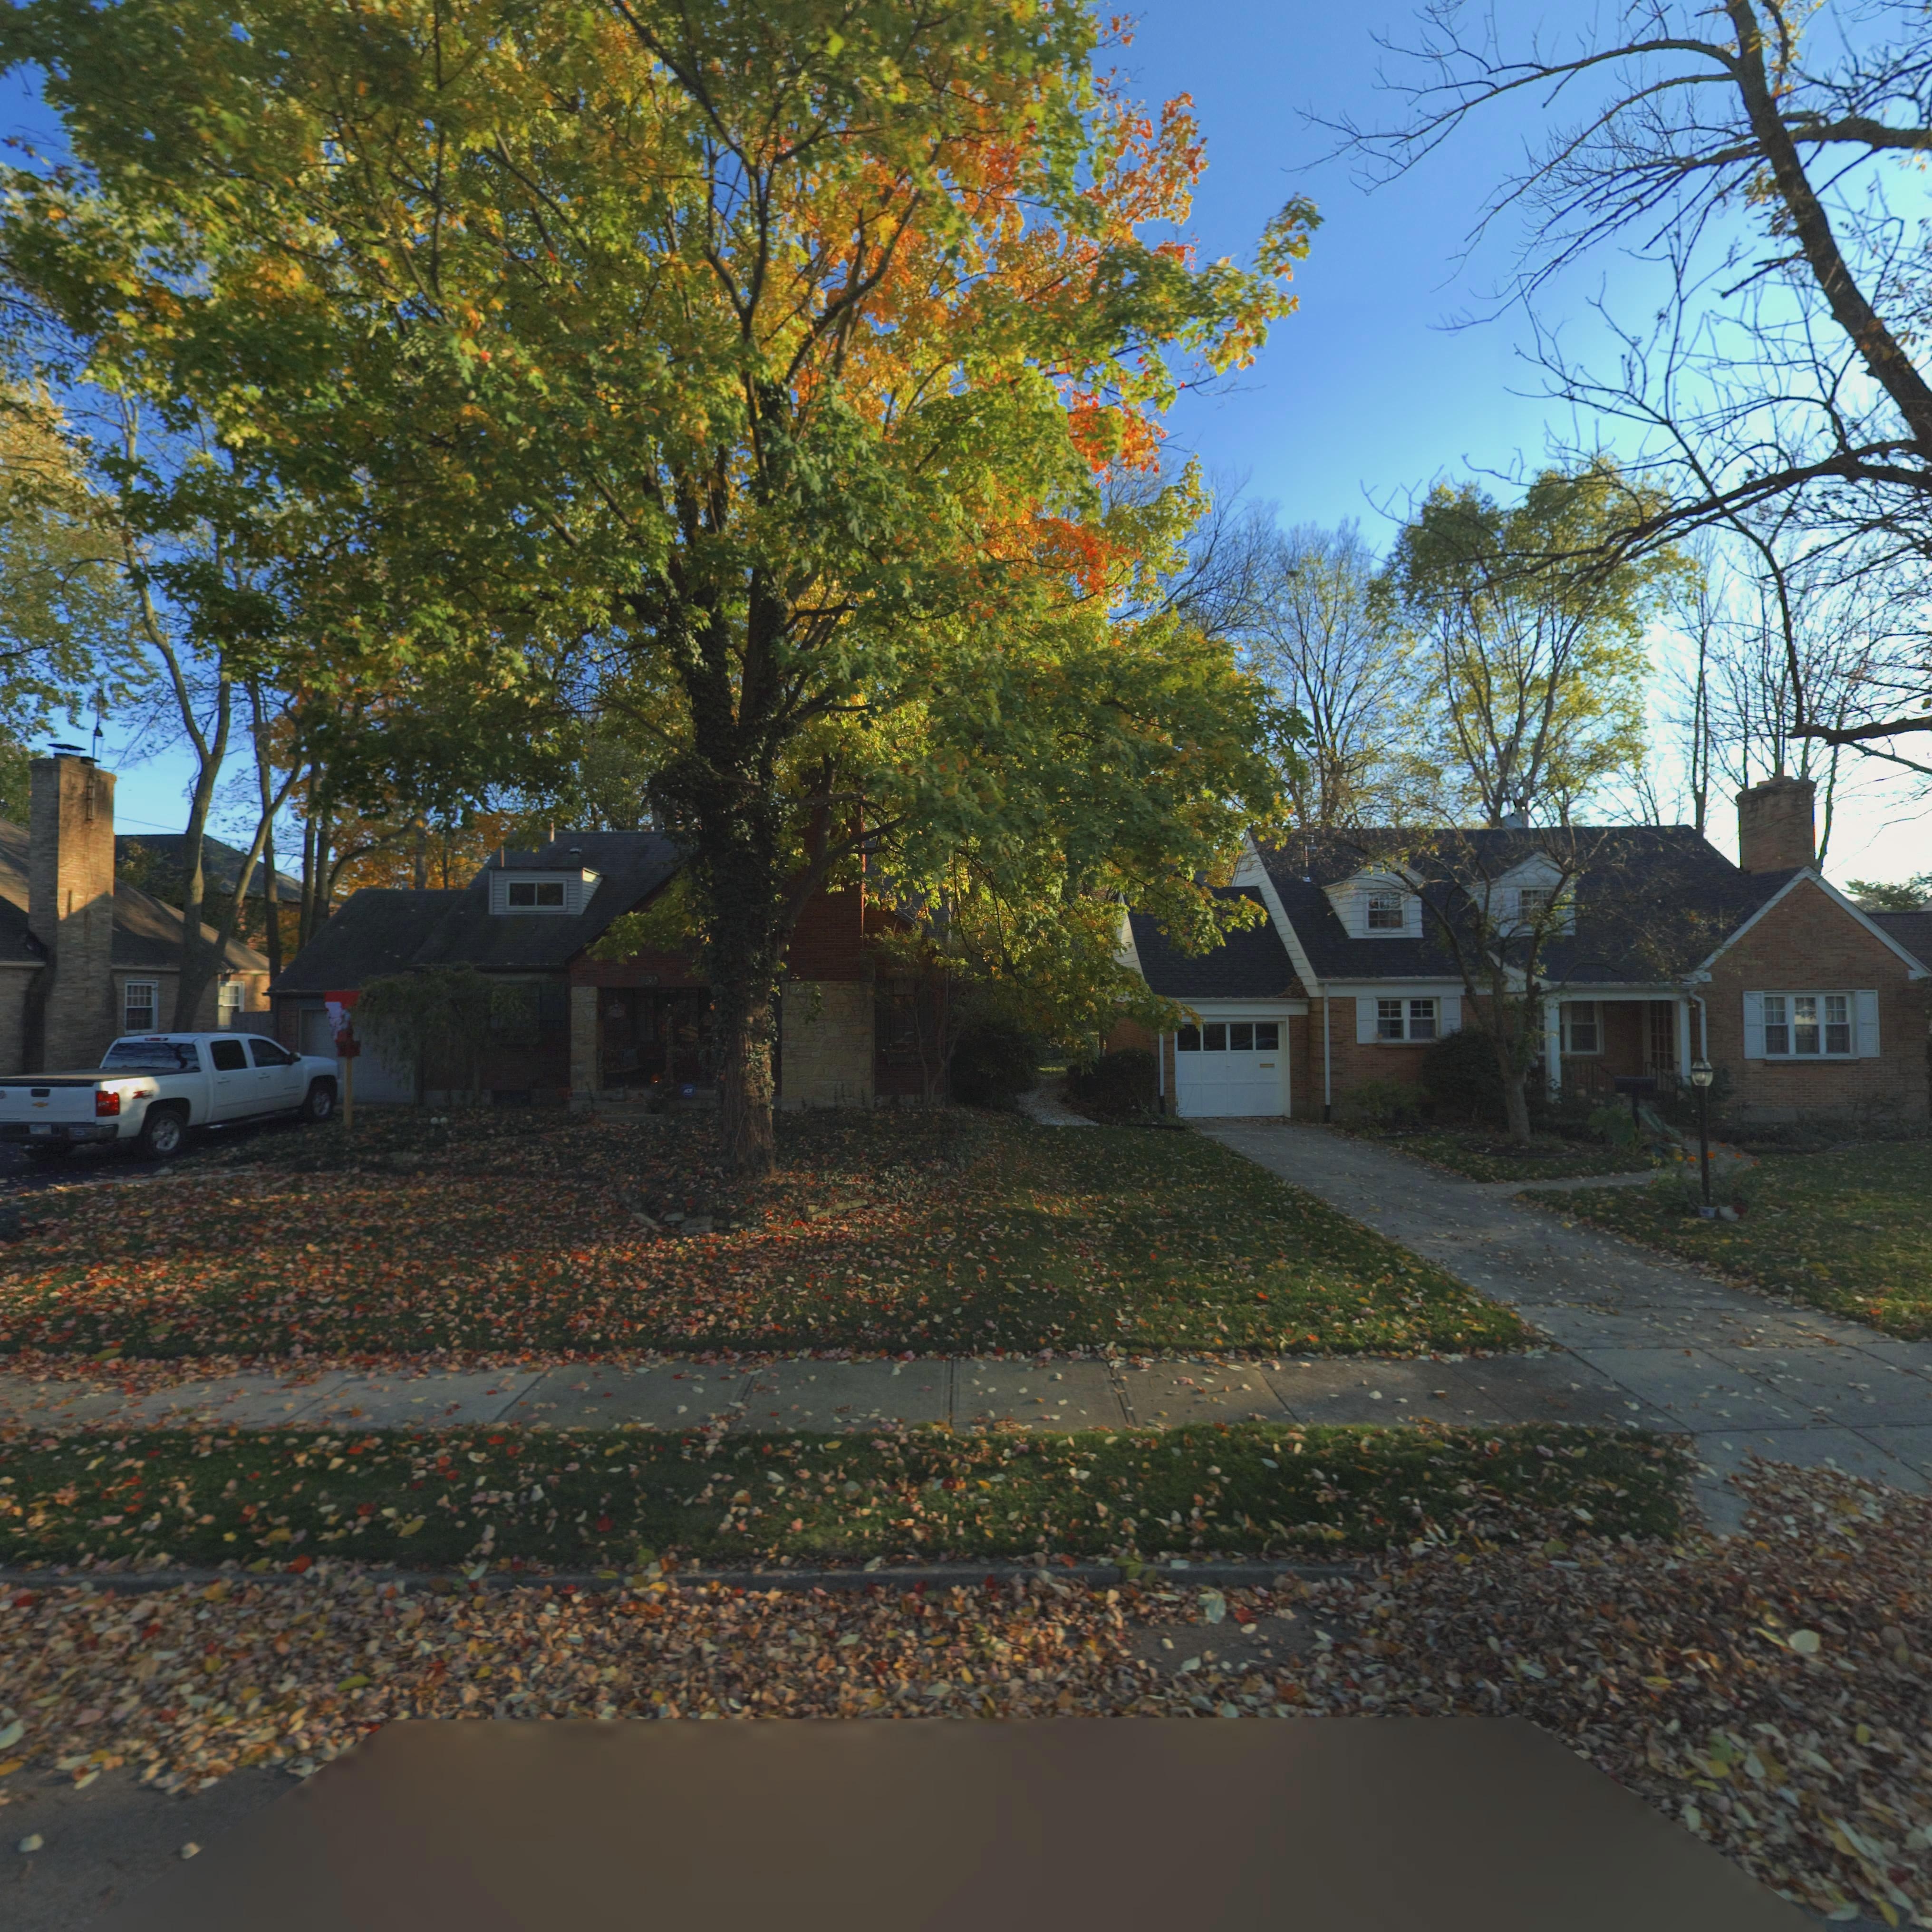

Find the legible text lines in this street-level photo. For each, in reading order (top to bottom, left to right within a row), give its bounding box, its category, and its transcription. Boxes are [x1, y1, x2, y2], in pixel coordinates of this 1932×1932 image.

[639, 976, 658, 986] StreetNumber: 1*2